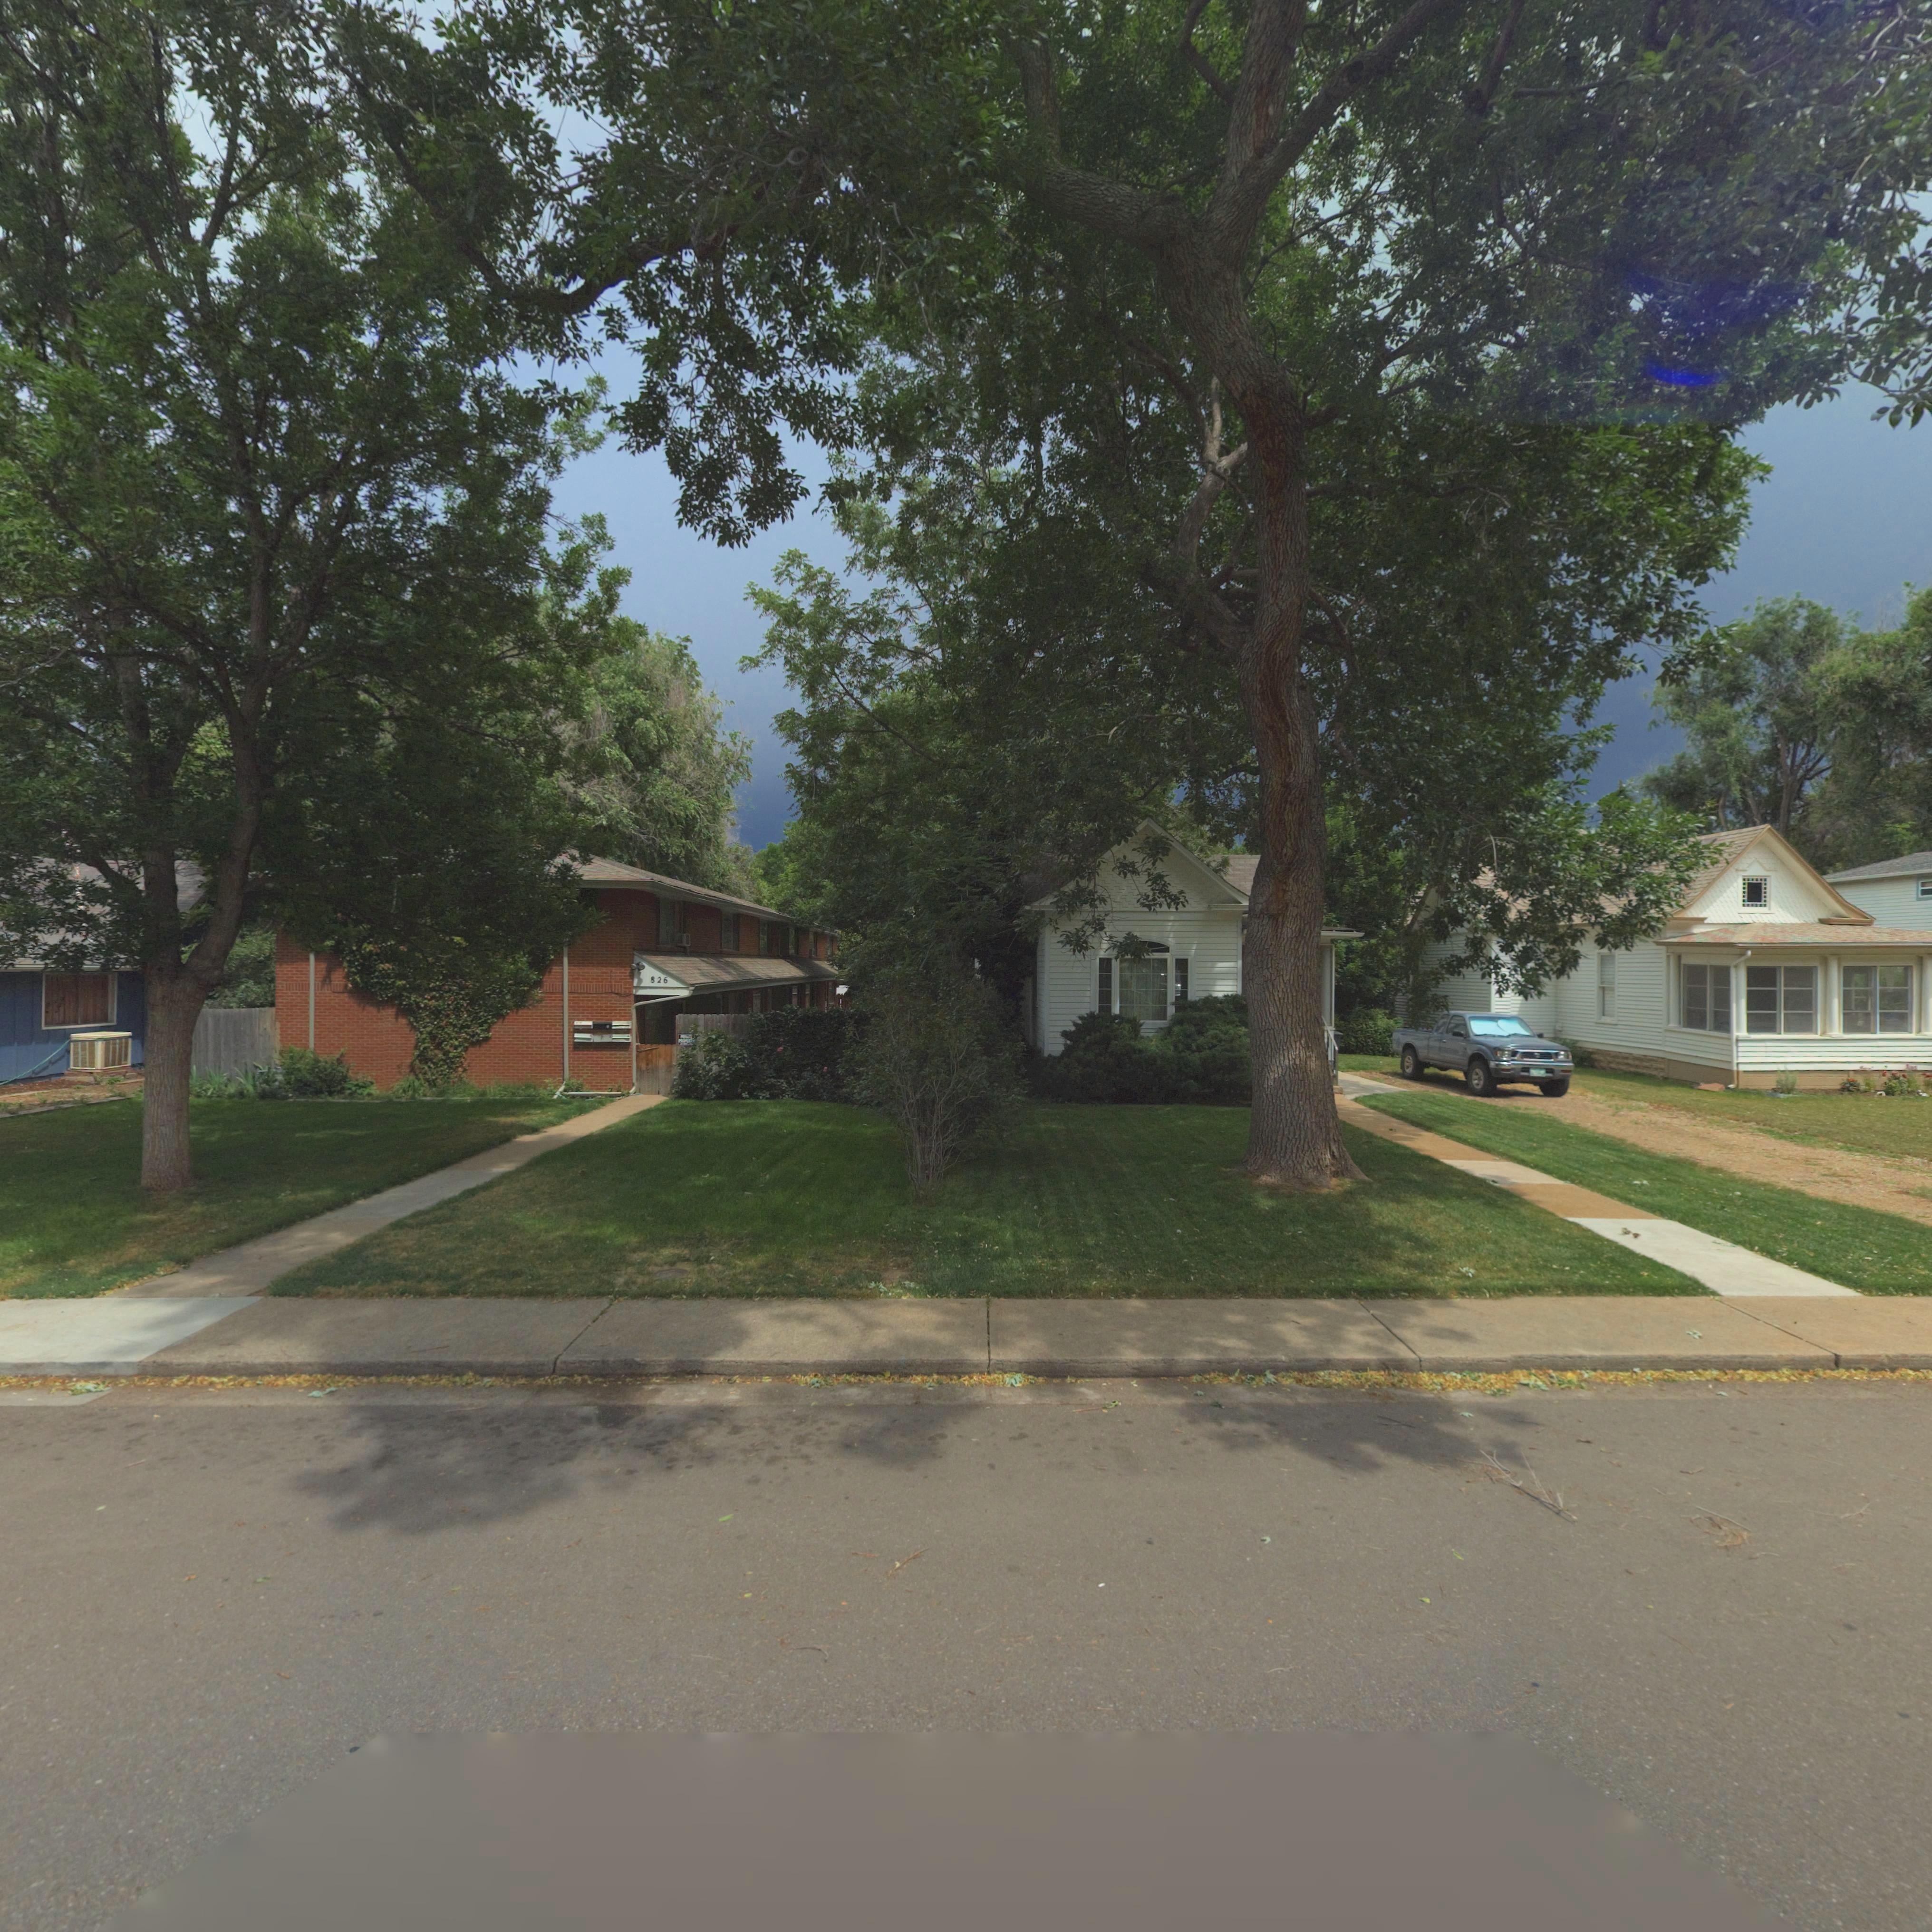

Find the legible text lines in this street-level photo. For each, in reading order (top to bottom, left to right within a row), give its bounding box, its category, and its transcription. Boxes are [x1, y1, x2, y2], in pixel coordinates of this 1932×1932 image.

[650, 976, 668, 984] StreetNumber: 826